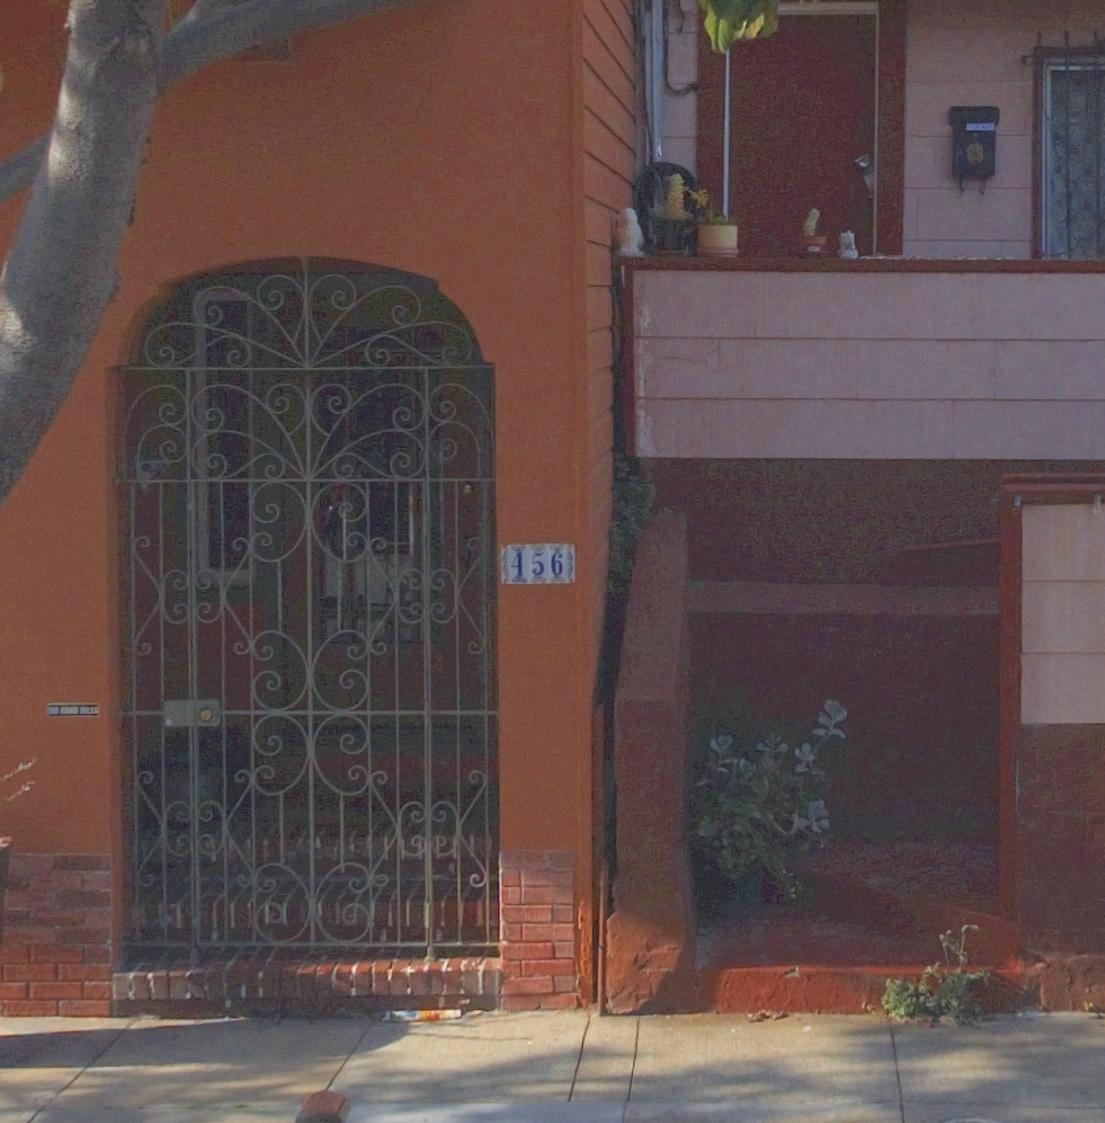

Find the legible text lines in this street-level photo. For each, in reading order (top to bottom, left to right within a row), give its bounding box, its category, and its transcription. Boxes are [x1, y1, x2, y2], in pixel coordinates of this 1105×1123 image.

[510, 551, 564, 576] StreetNumber: 456